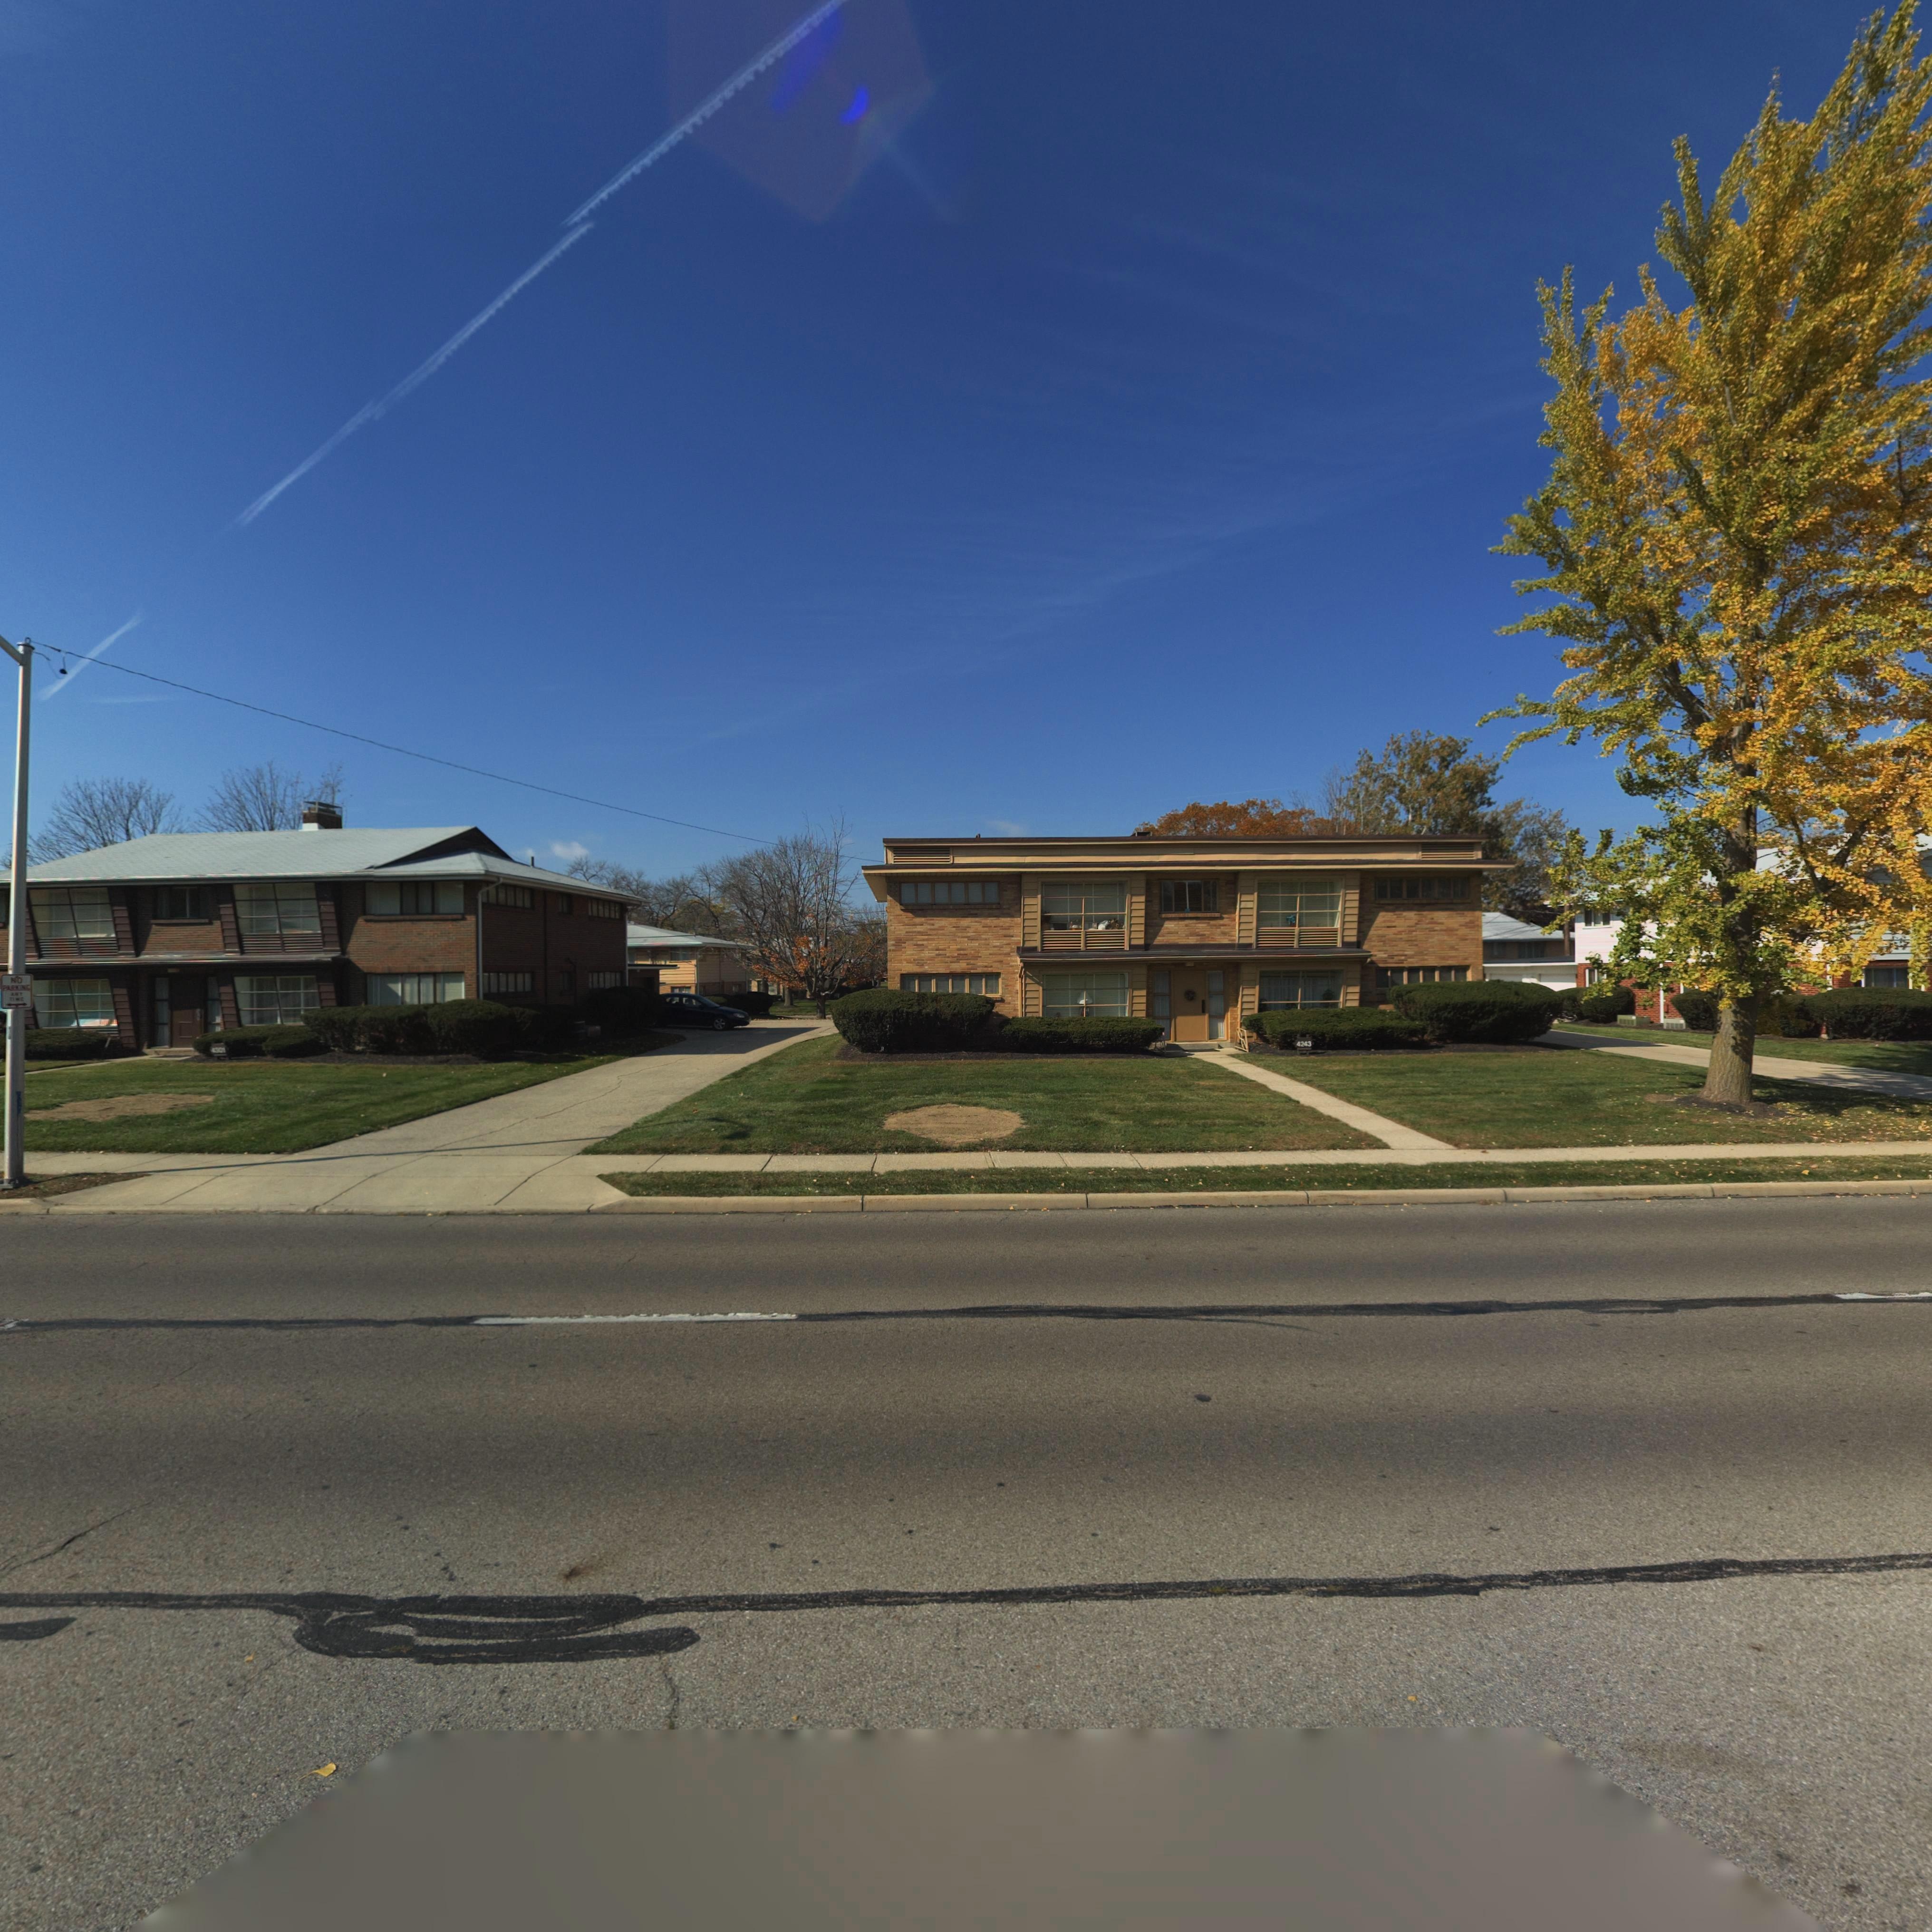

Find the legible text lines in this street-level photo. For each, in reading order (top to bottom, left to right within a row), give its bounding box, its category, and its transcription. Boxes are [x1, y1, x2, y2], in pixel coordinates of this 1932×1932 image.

[9, 976, 24, 985] None: NO
[1295, 1040, 1314, 1048] StreetNumber: 4243
[209, 1046, 228, 1054] StreetNumber: *30*